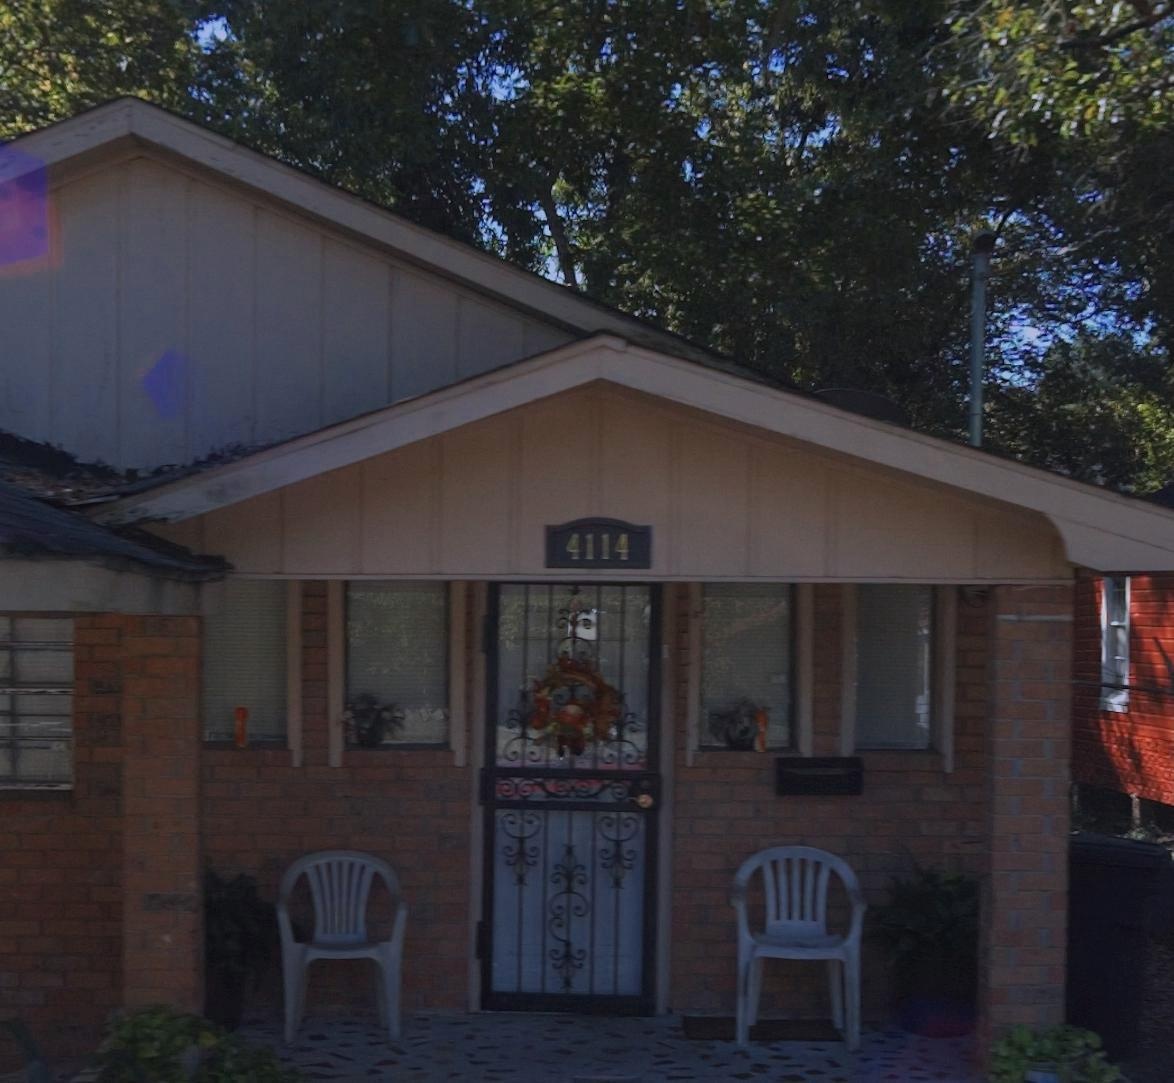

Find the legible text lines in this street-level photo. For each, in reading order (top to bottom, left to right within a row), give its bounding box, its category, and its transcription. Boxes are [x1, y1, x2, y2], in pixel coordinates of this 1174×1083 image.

[562, 530, 632, 563] StreetNumber: 4114